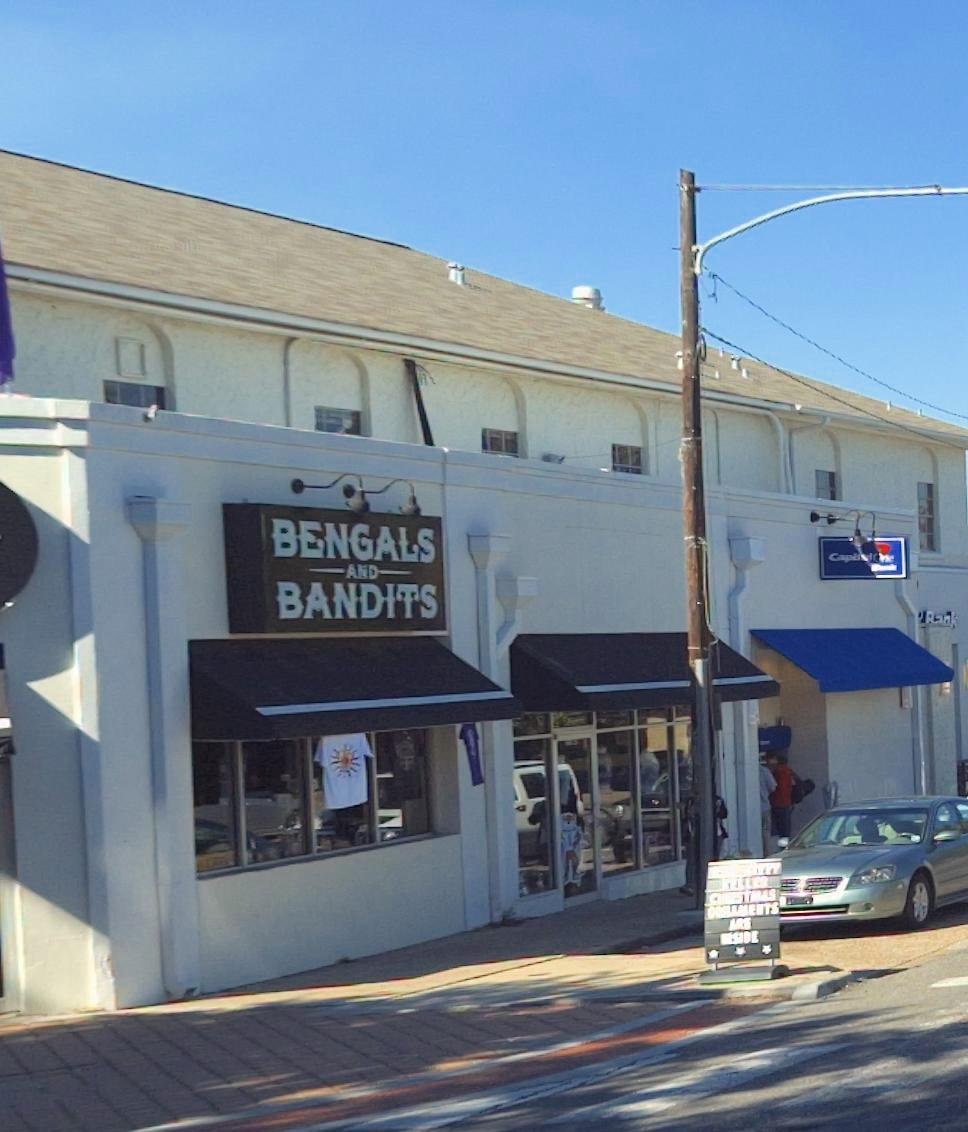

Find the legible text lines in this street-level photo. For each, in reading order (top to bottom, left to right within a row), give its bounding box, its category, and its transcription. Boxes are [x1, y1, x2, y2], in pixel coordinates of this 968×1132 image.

[270, 517, 437, 565] BusinessName: BENGALS
[827, 552, 895, 564] BusinessName: Capi**lOne
[345, 562, 380, 580] BusinessName: AND
[276, 580, 440, 621] BusinessName: BANDITS
[925, 610, 958, 629] BusinessName: ***k
[720, 875, 769, 890] None: *ELLE*\
[708, 888, 778, 906] None: C***STMAS
[706, 901, 780, 921] None: O***ME*TS
[726, 916, 753, 931] None: ARE
[719, 930, 760, 947] None: **SIDE